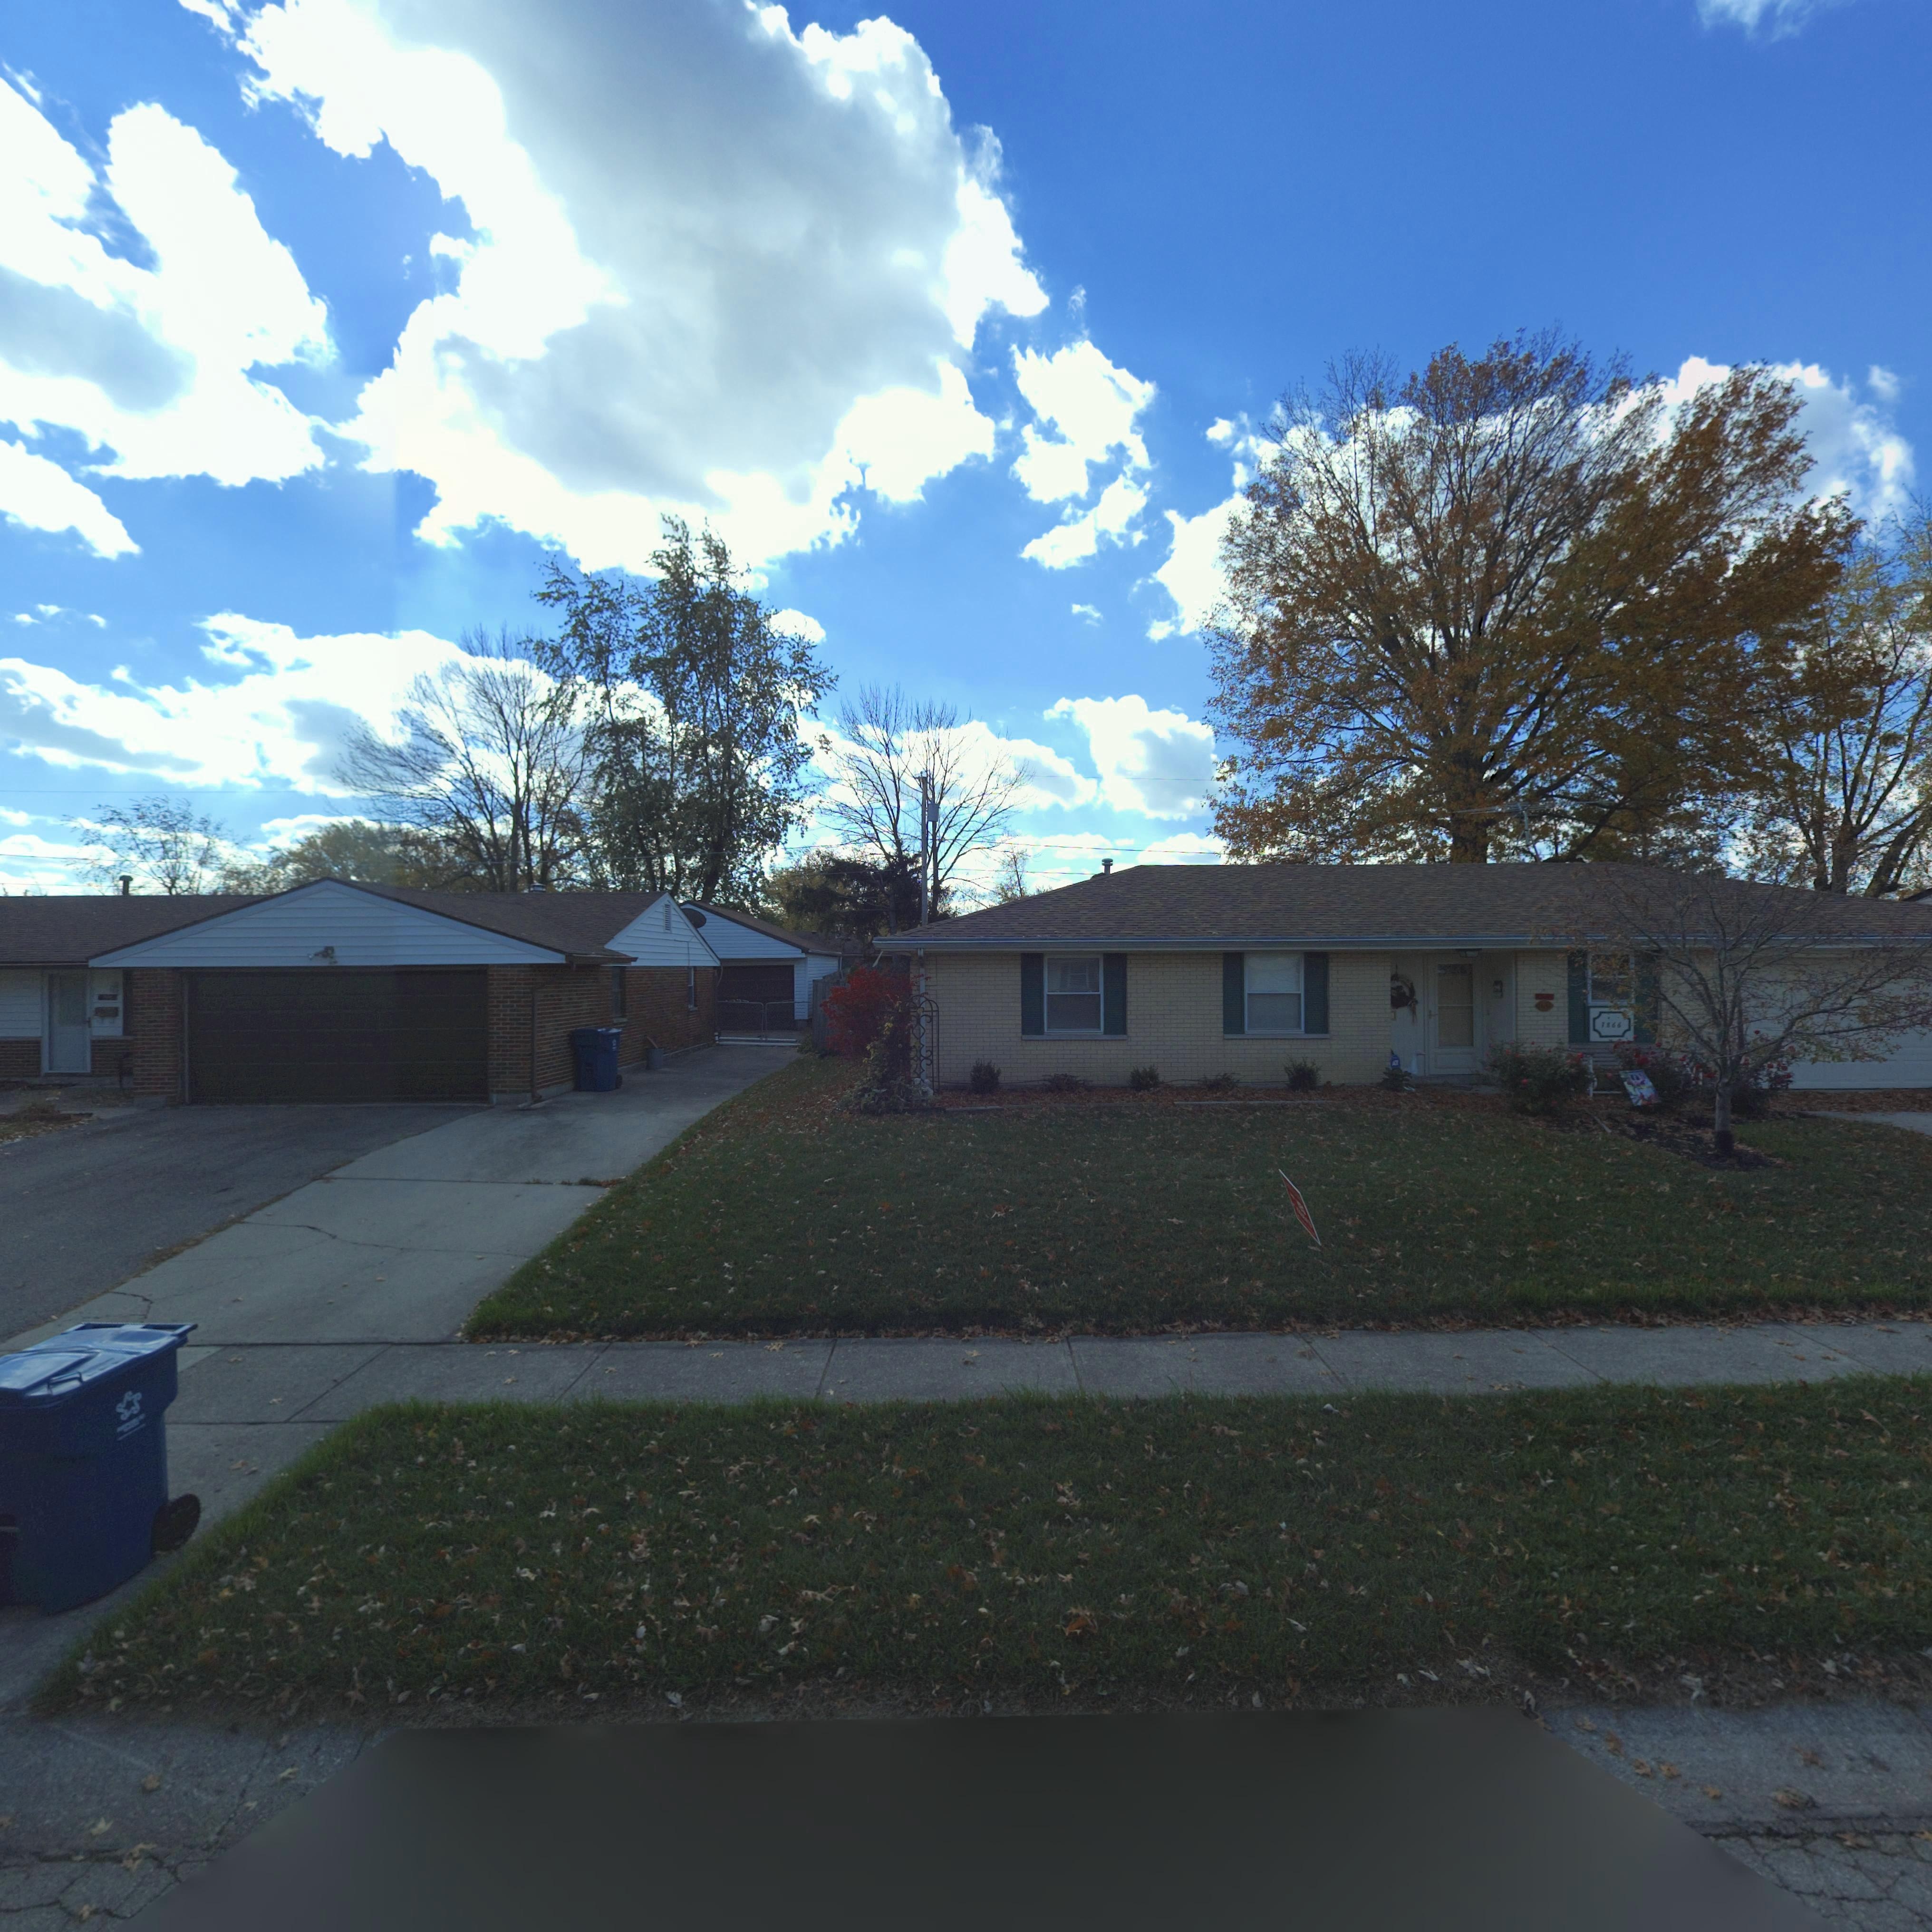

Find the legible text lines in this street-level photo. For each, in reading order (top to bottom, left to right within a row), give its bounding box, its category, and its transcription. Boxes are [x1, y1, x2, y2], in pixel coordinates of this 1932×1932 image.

[1601, 1021, 1622, 1028] StreetNumber: 7866